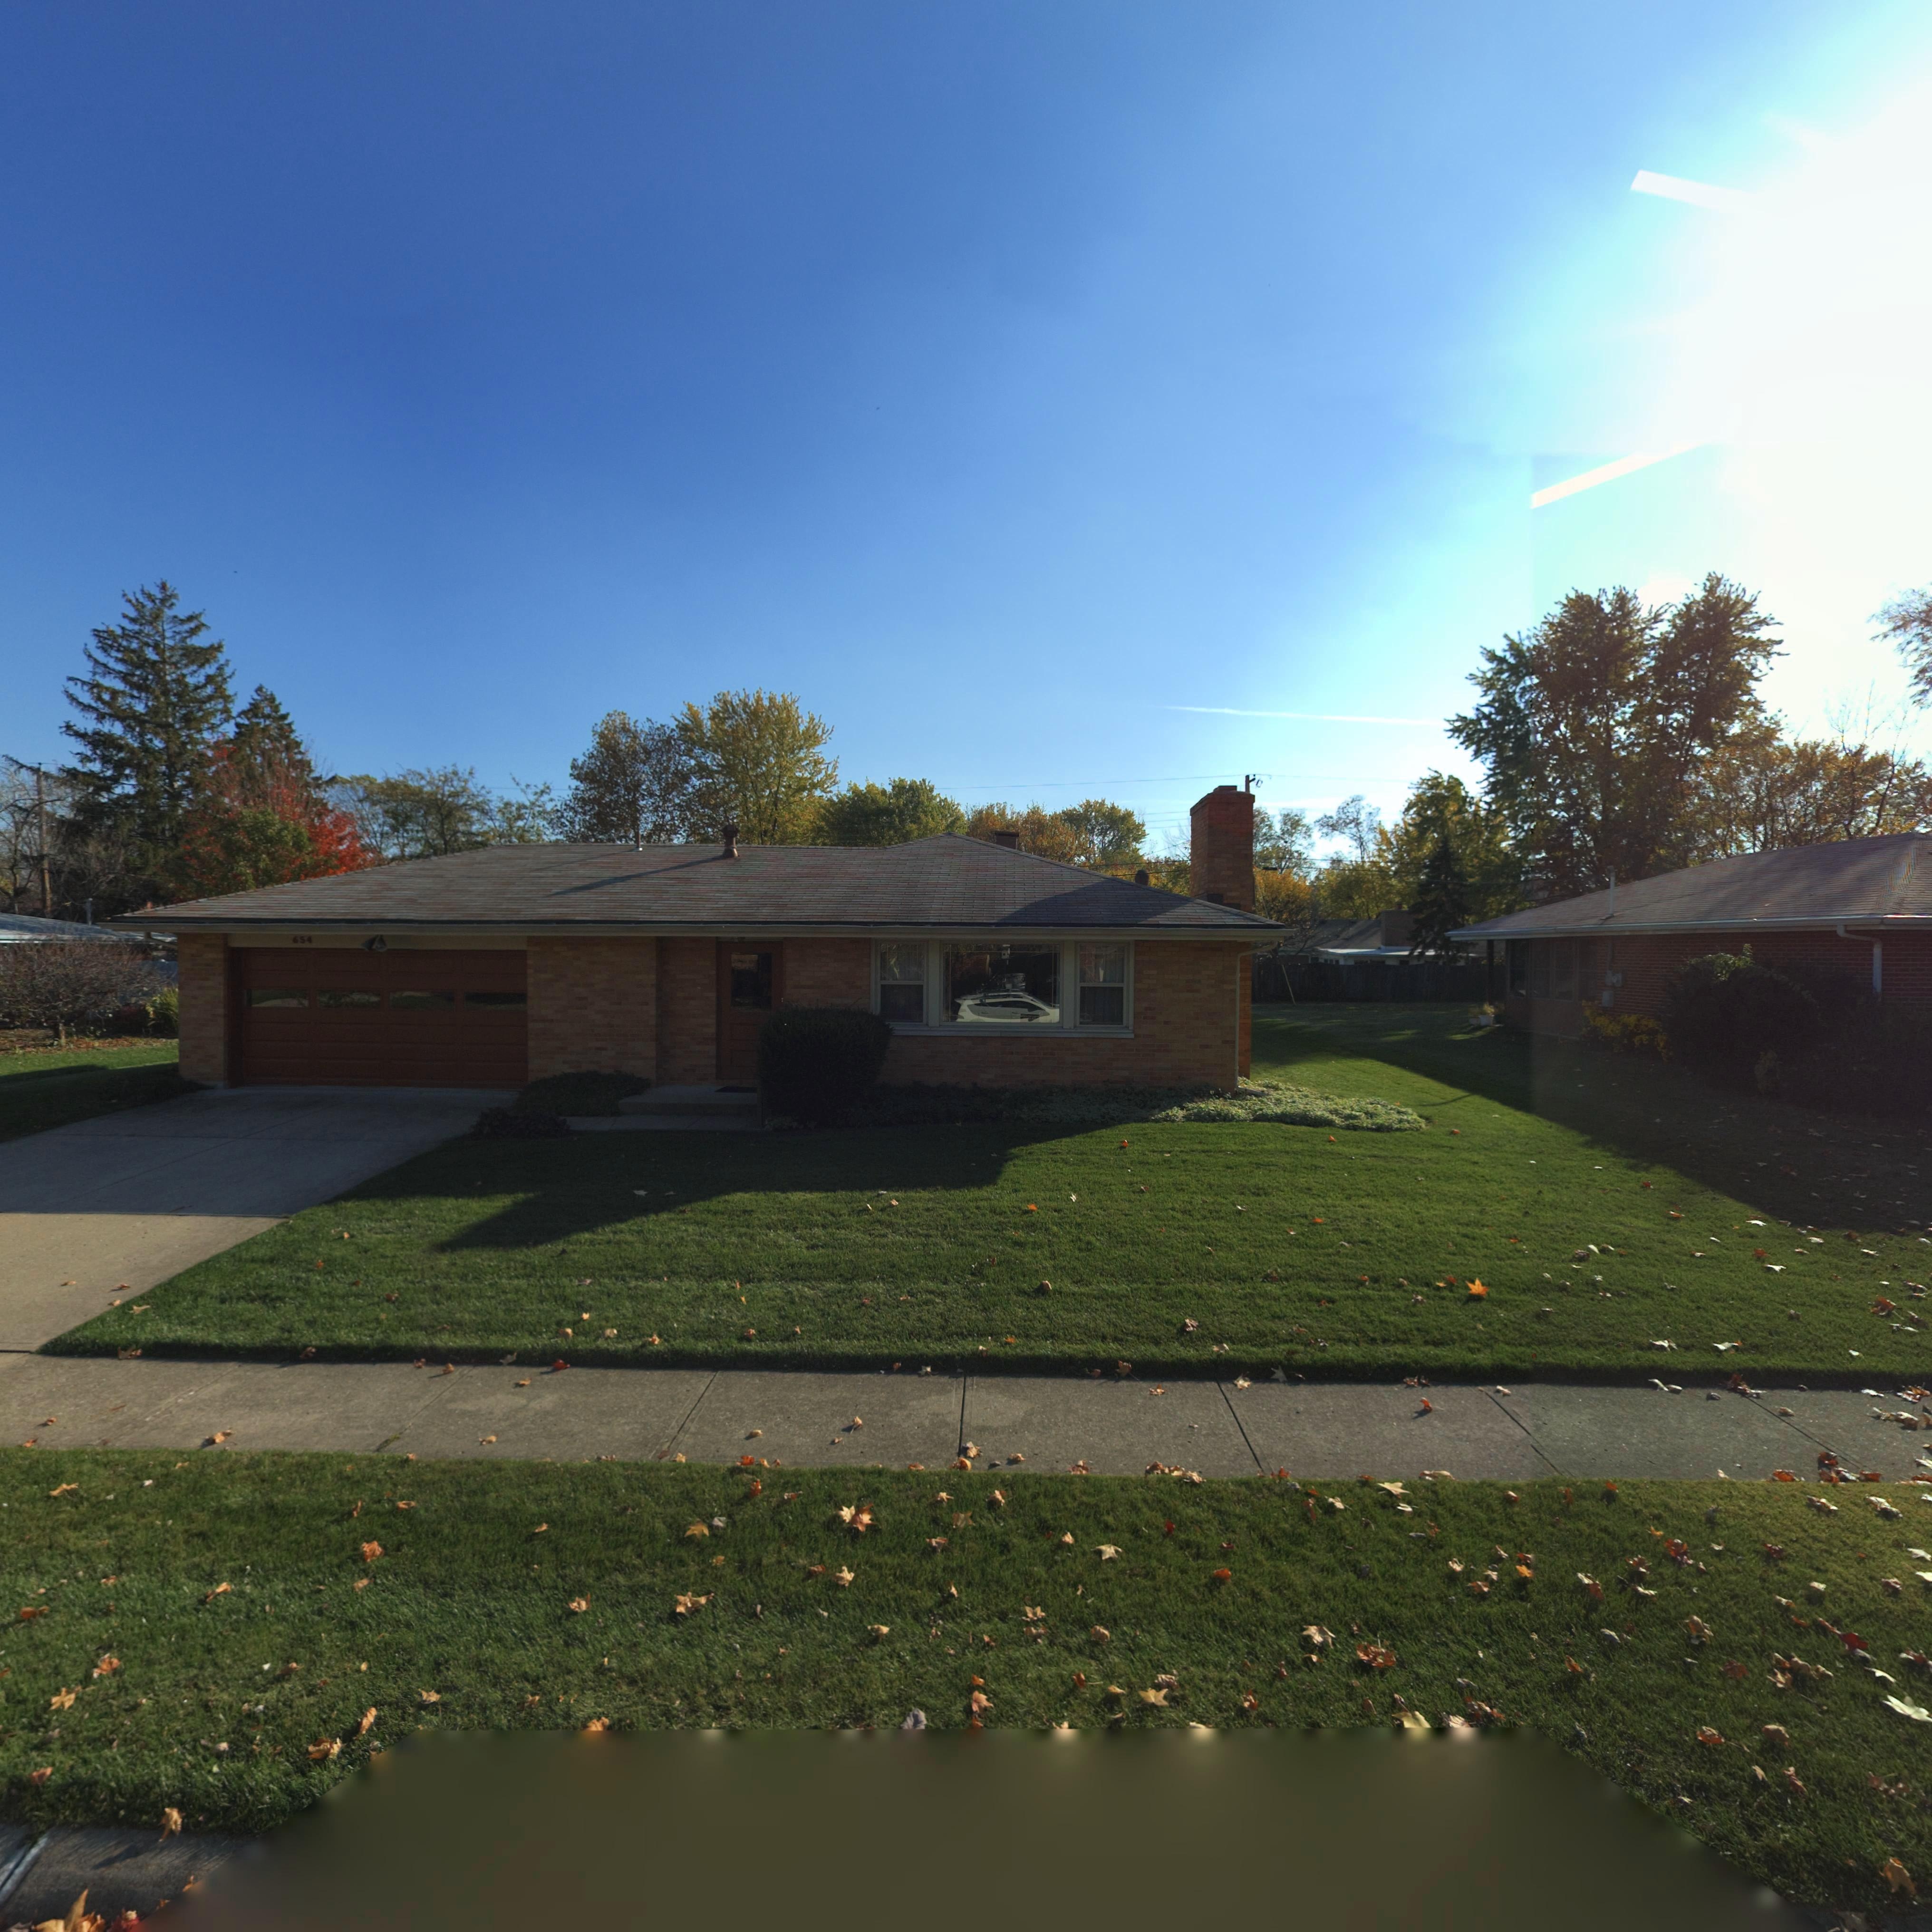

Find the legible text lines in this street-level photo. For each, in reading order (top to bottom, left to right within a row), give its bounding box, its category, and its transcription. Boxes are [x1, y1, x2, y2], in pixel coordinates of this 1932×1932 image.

[292, 935, 312, 944] StreetNumber: 654